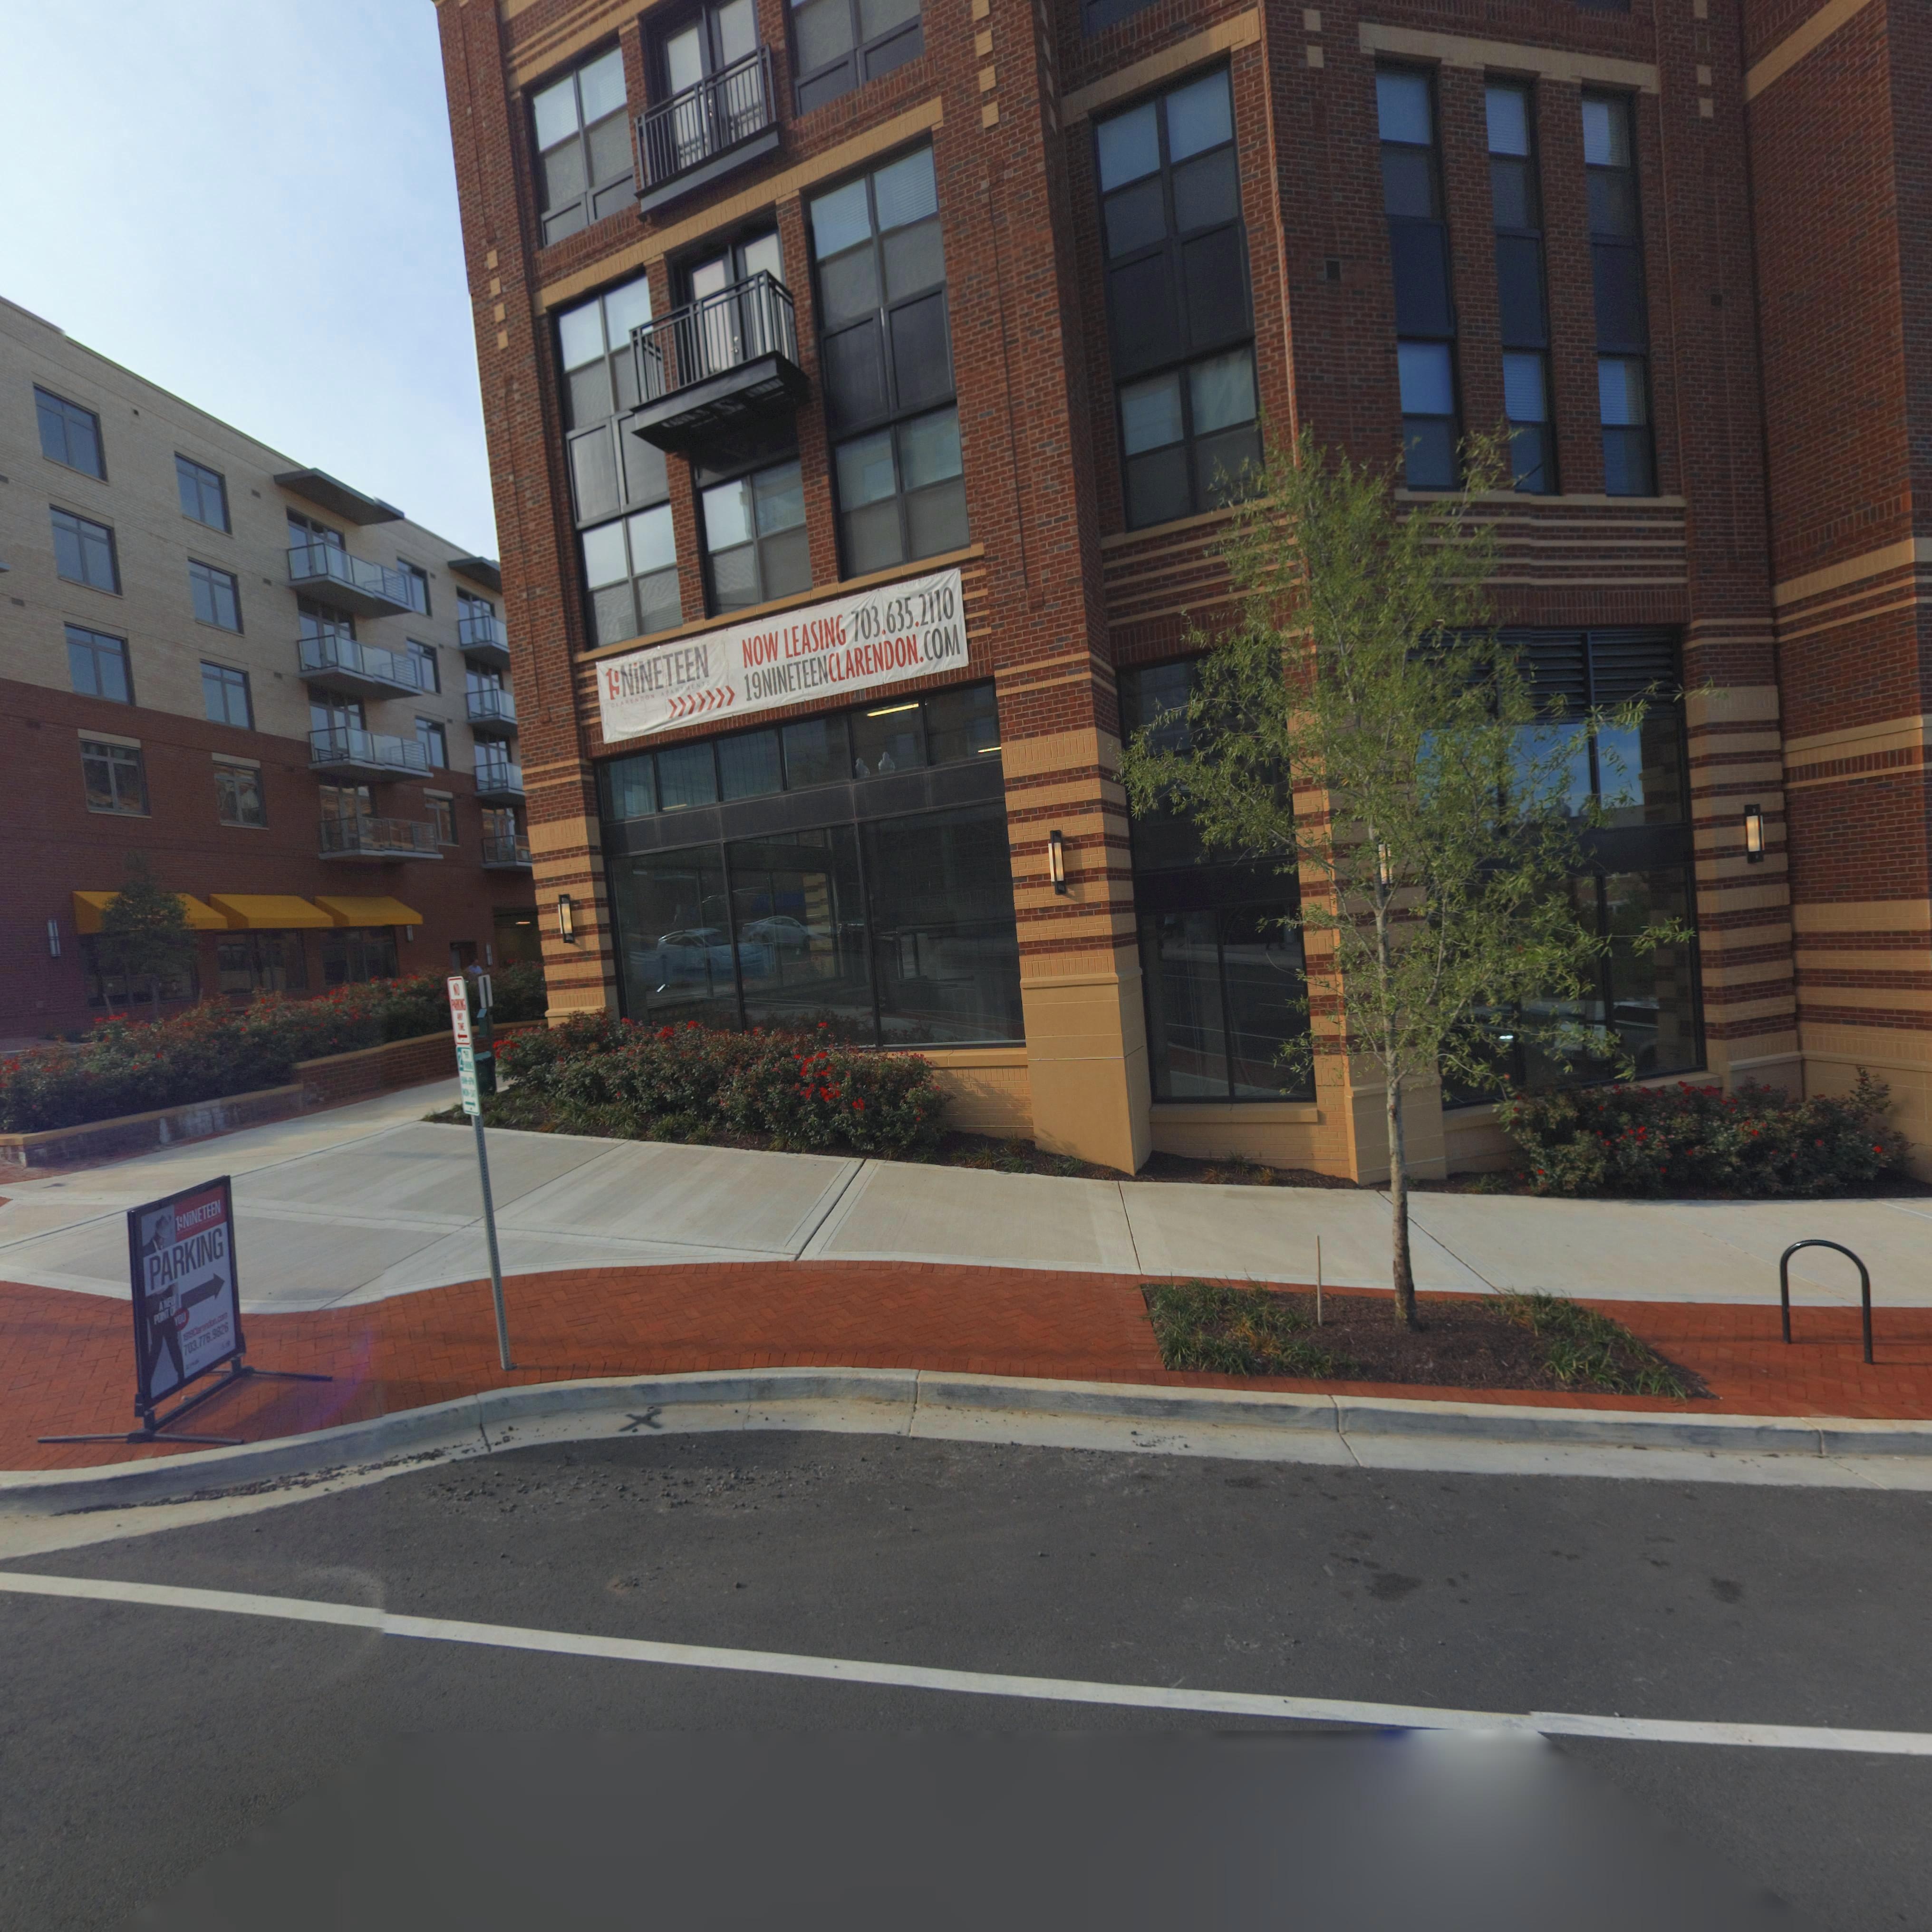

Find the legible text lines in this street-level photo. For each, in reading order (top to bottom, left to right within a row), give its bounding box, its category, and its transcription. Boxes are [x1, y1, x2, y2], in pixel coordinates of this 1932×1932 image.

[739, 582, 958, 672] None: NOW LEASING 703.635.2110
[618, 641, 712, 701] None: NiNETEEN
[760, 620, 964, 701] None: NINETEENCLARENDON.COM
[609, 678, 712, 709] None: CLARENDON APARTMENTS
[456, 1050, 464, 1068] None: 2
[182, 1197, 222, 1230] None: NiNETEEN
[146, 1226, 226, 1293] None: PARKING
[172, 1310, 188, 1328] None: YOU
[182, 1319, 231, 1357] None: 703.776.9826